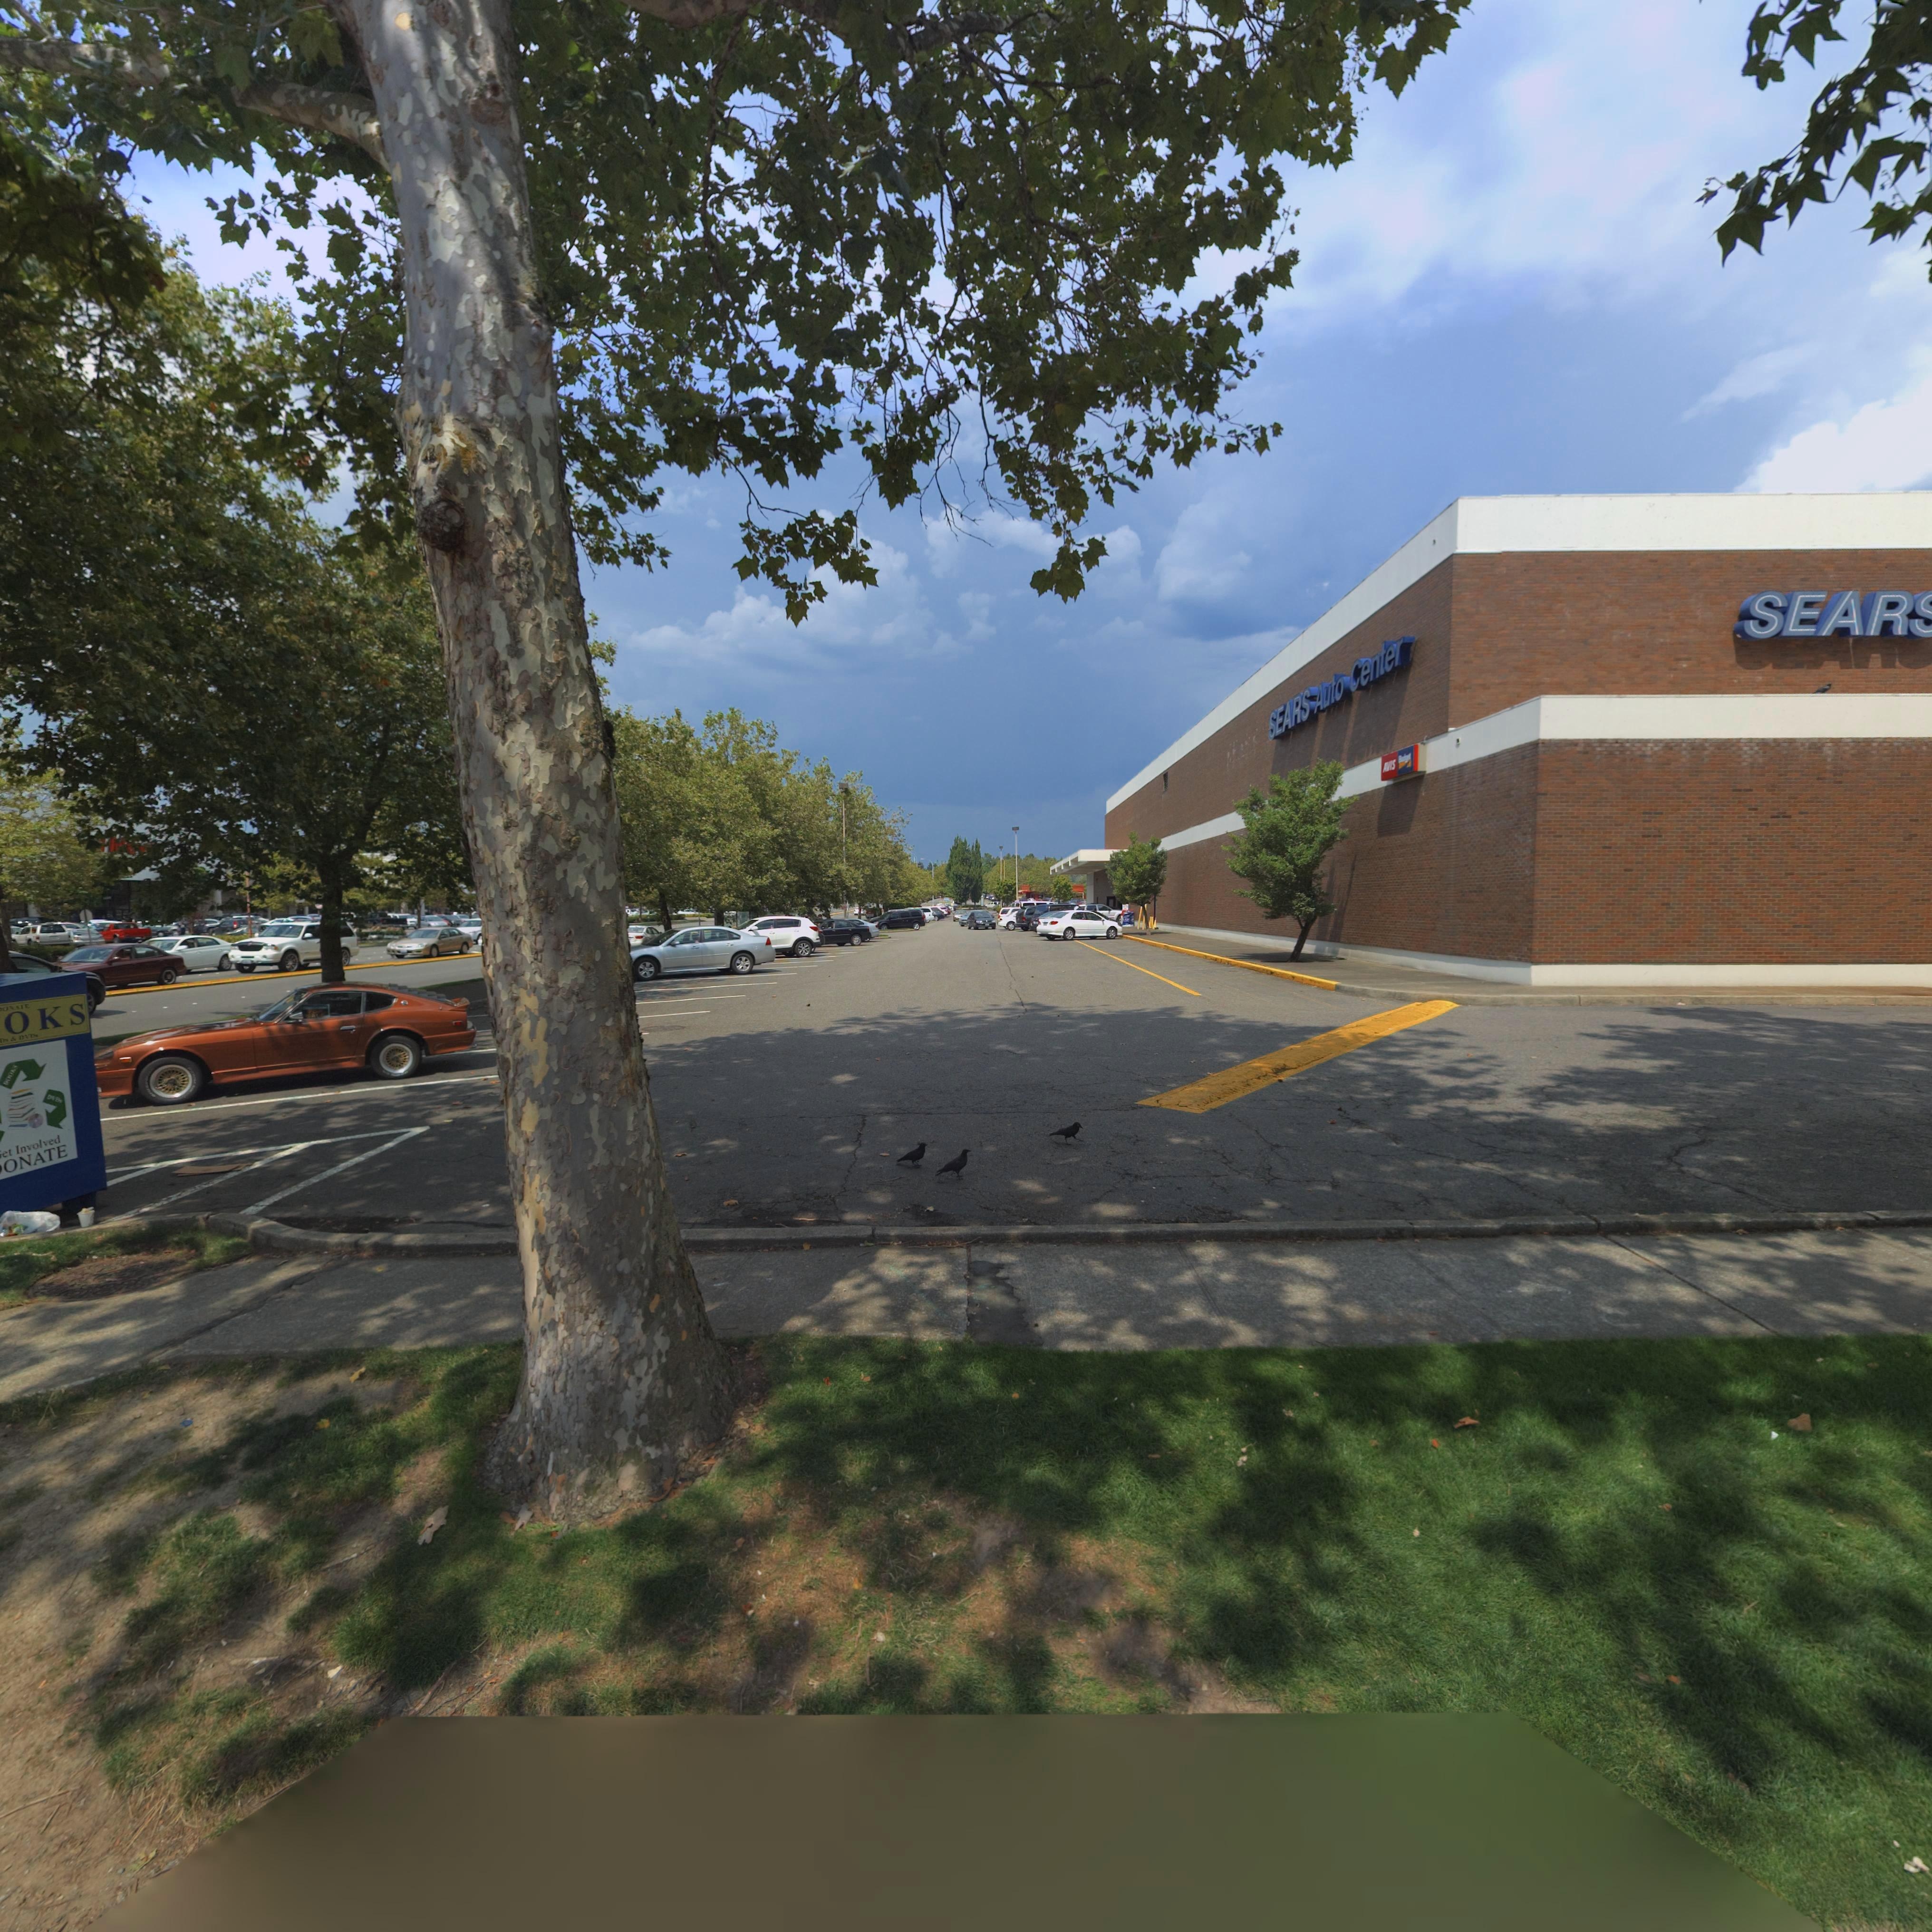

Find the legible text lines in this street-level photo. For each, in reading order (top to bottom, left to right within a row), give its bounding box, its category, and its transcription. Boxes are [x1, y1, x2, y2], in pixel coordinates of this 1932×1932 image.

[1744, 588, 1932, 638] BusinessName: SEAR*
[1267, 635, 1405, 742] BusinessName: SEARS Auto Center
[1382, 759, 1396, 773] BusinessName: AVIS
[1398, 752, 1411, 763] BusinessName: Budget